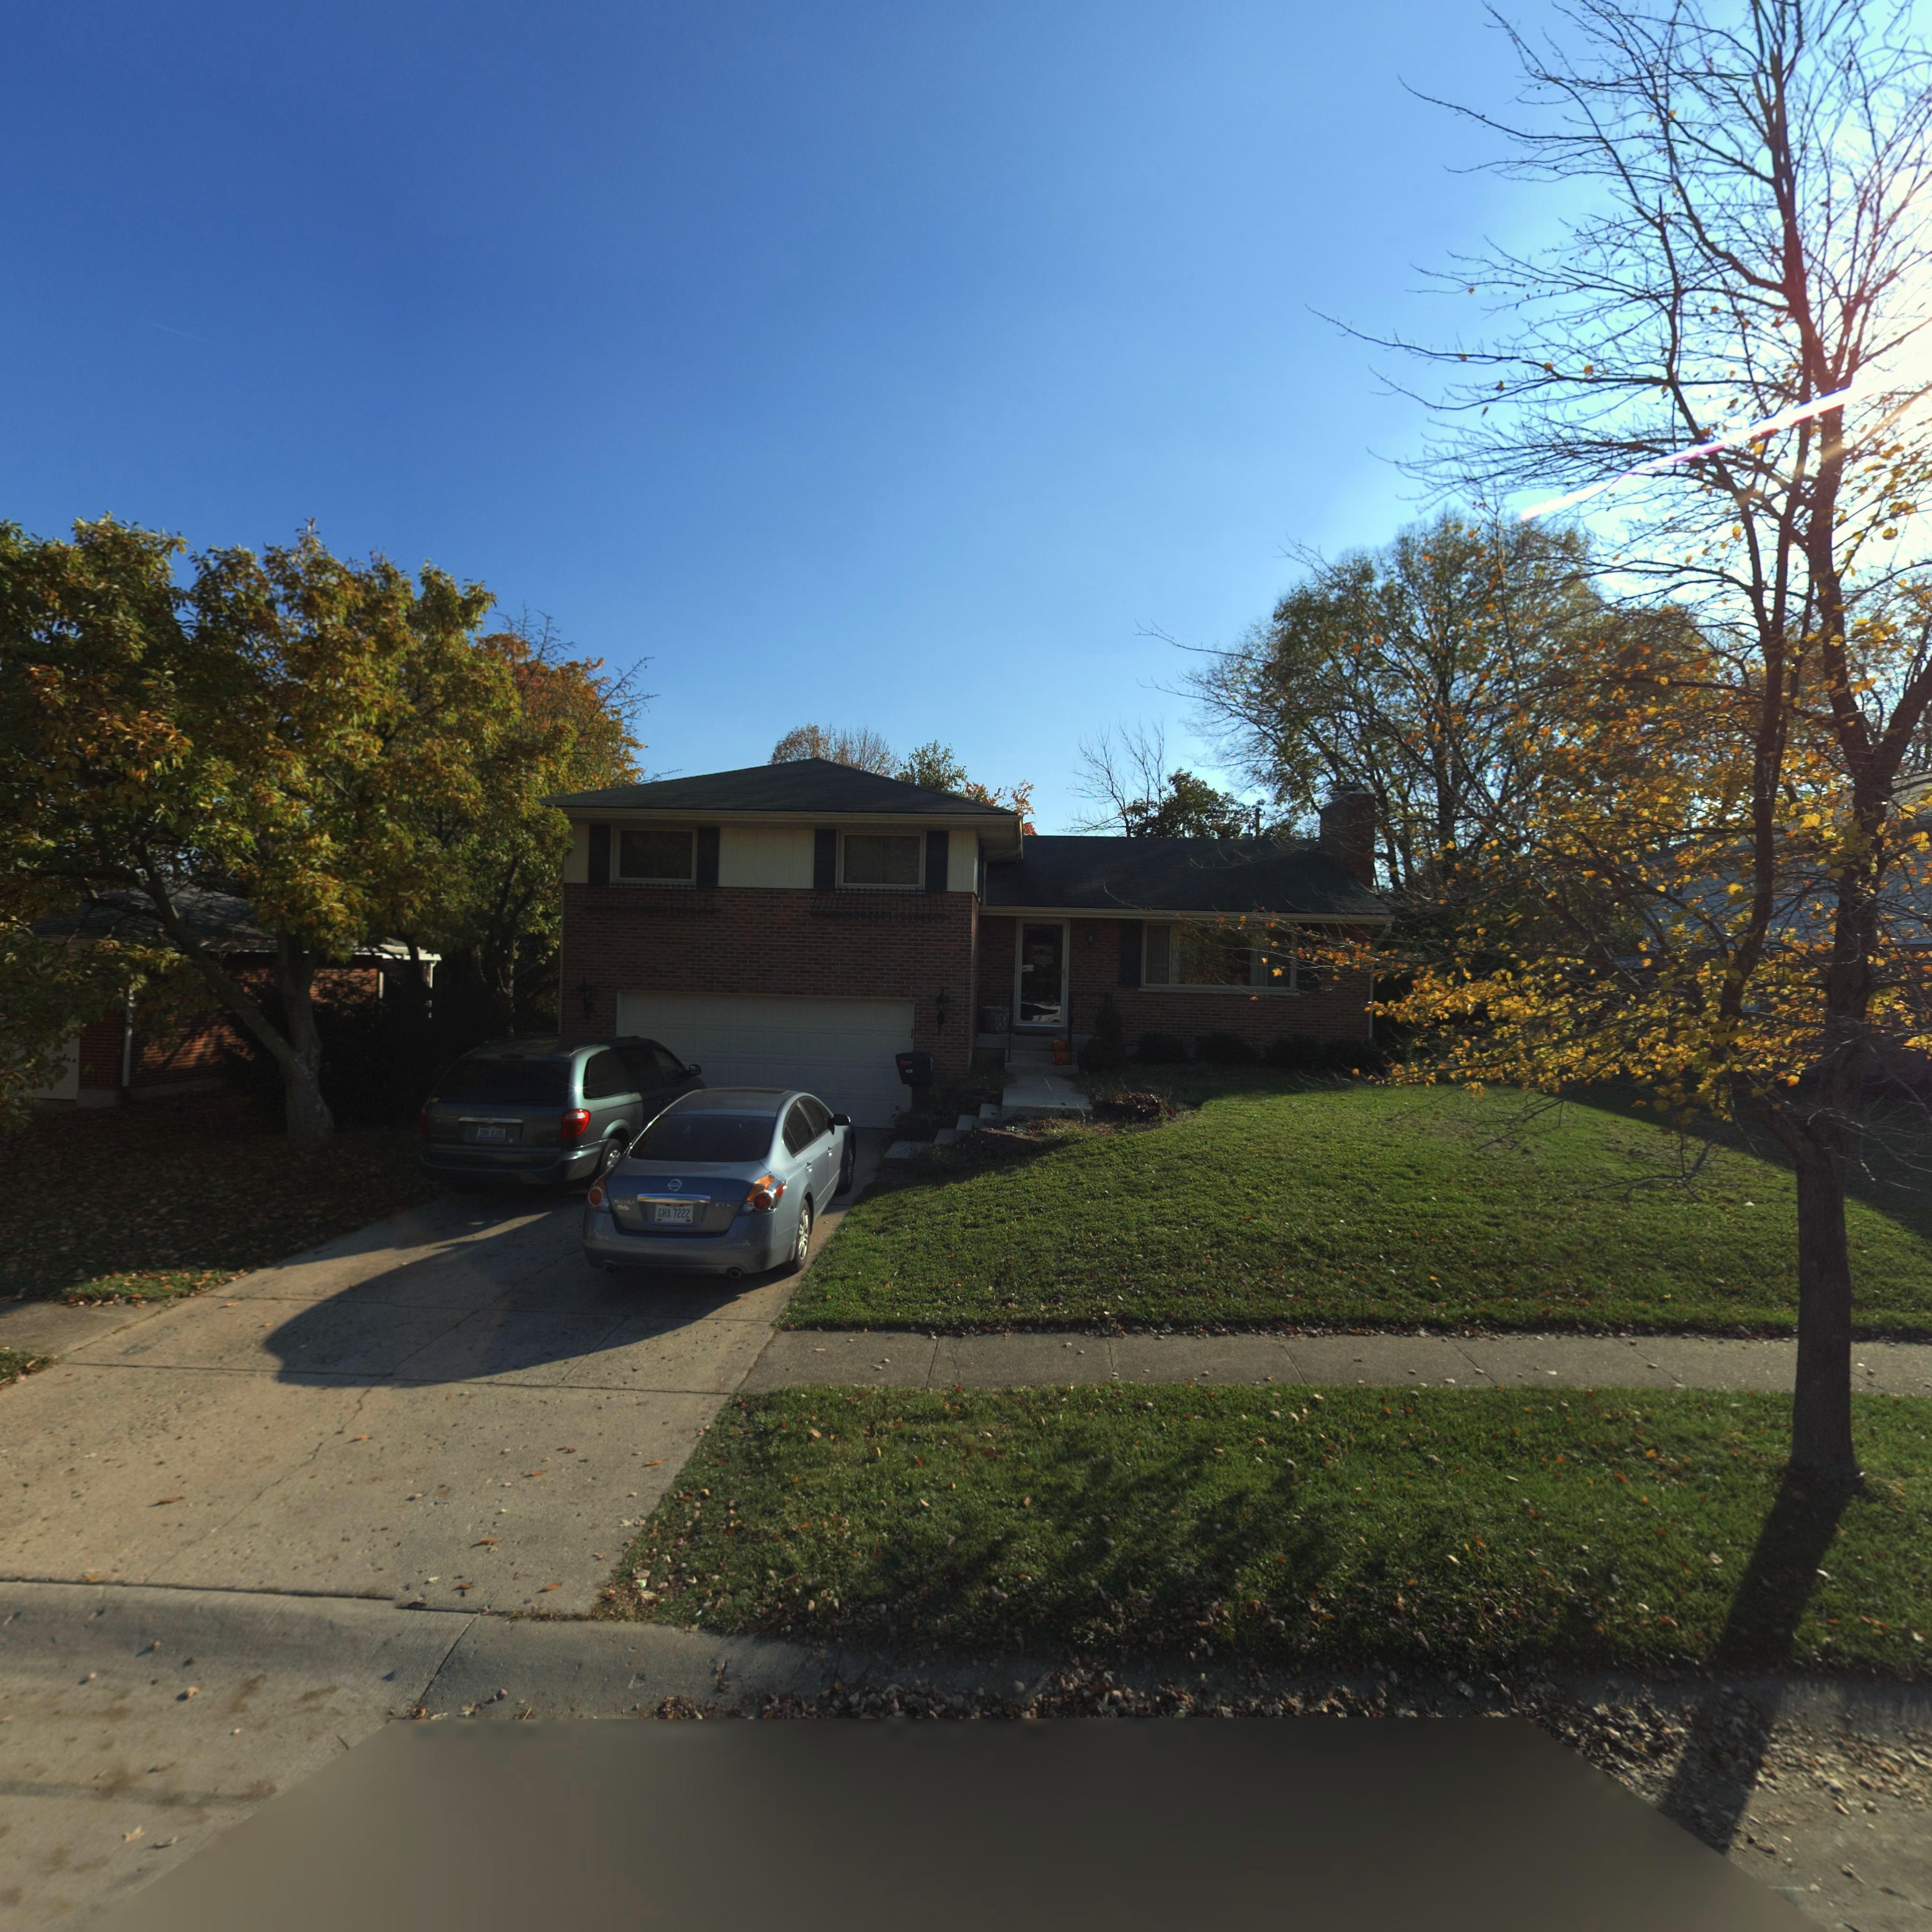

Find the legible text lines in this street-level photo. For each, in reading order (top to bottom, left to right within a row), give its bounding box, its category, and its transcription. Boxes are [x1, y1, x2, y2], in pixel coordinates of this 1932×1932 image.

[905, 1069, 913, 1073] StreetNumber: 628